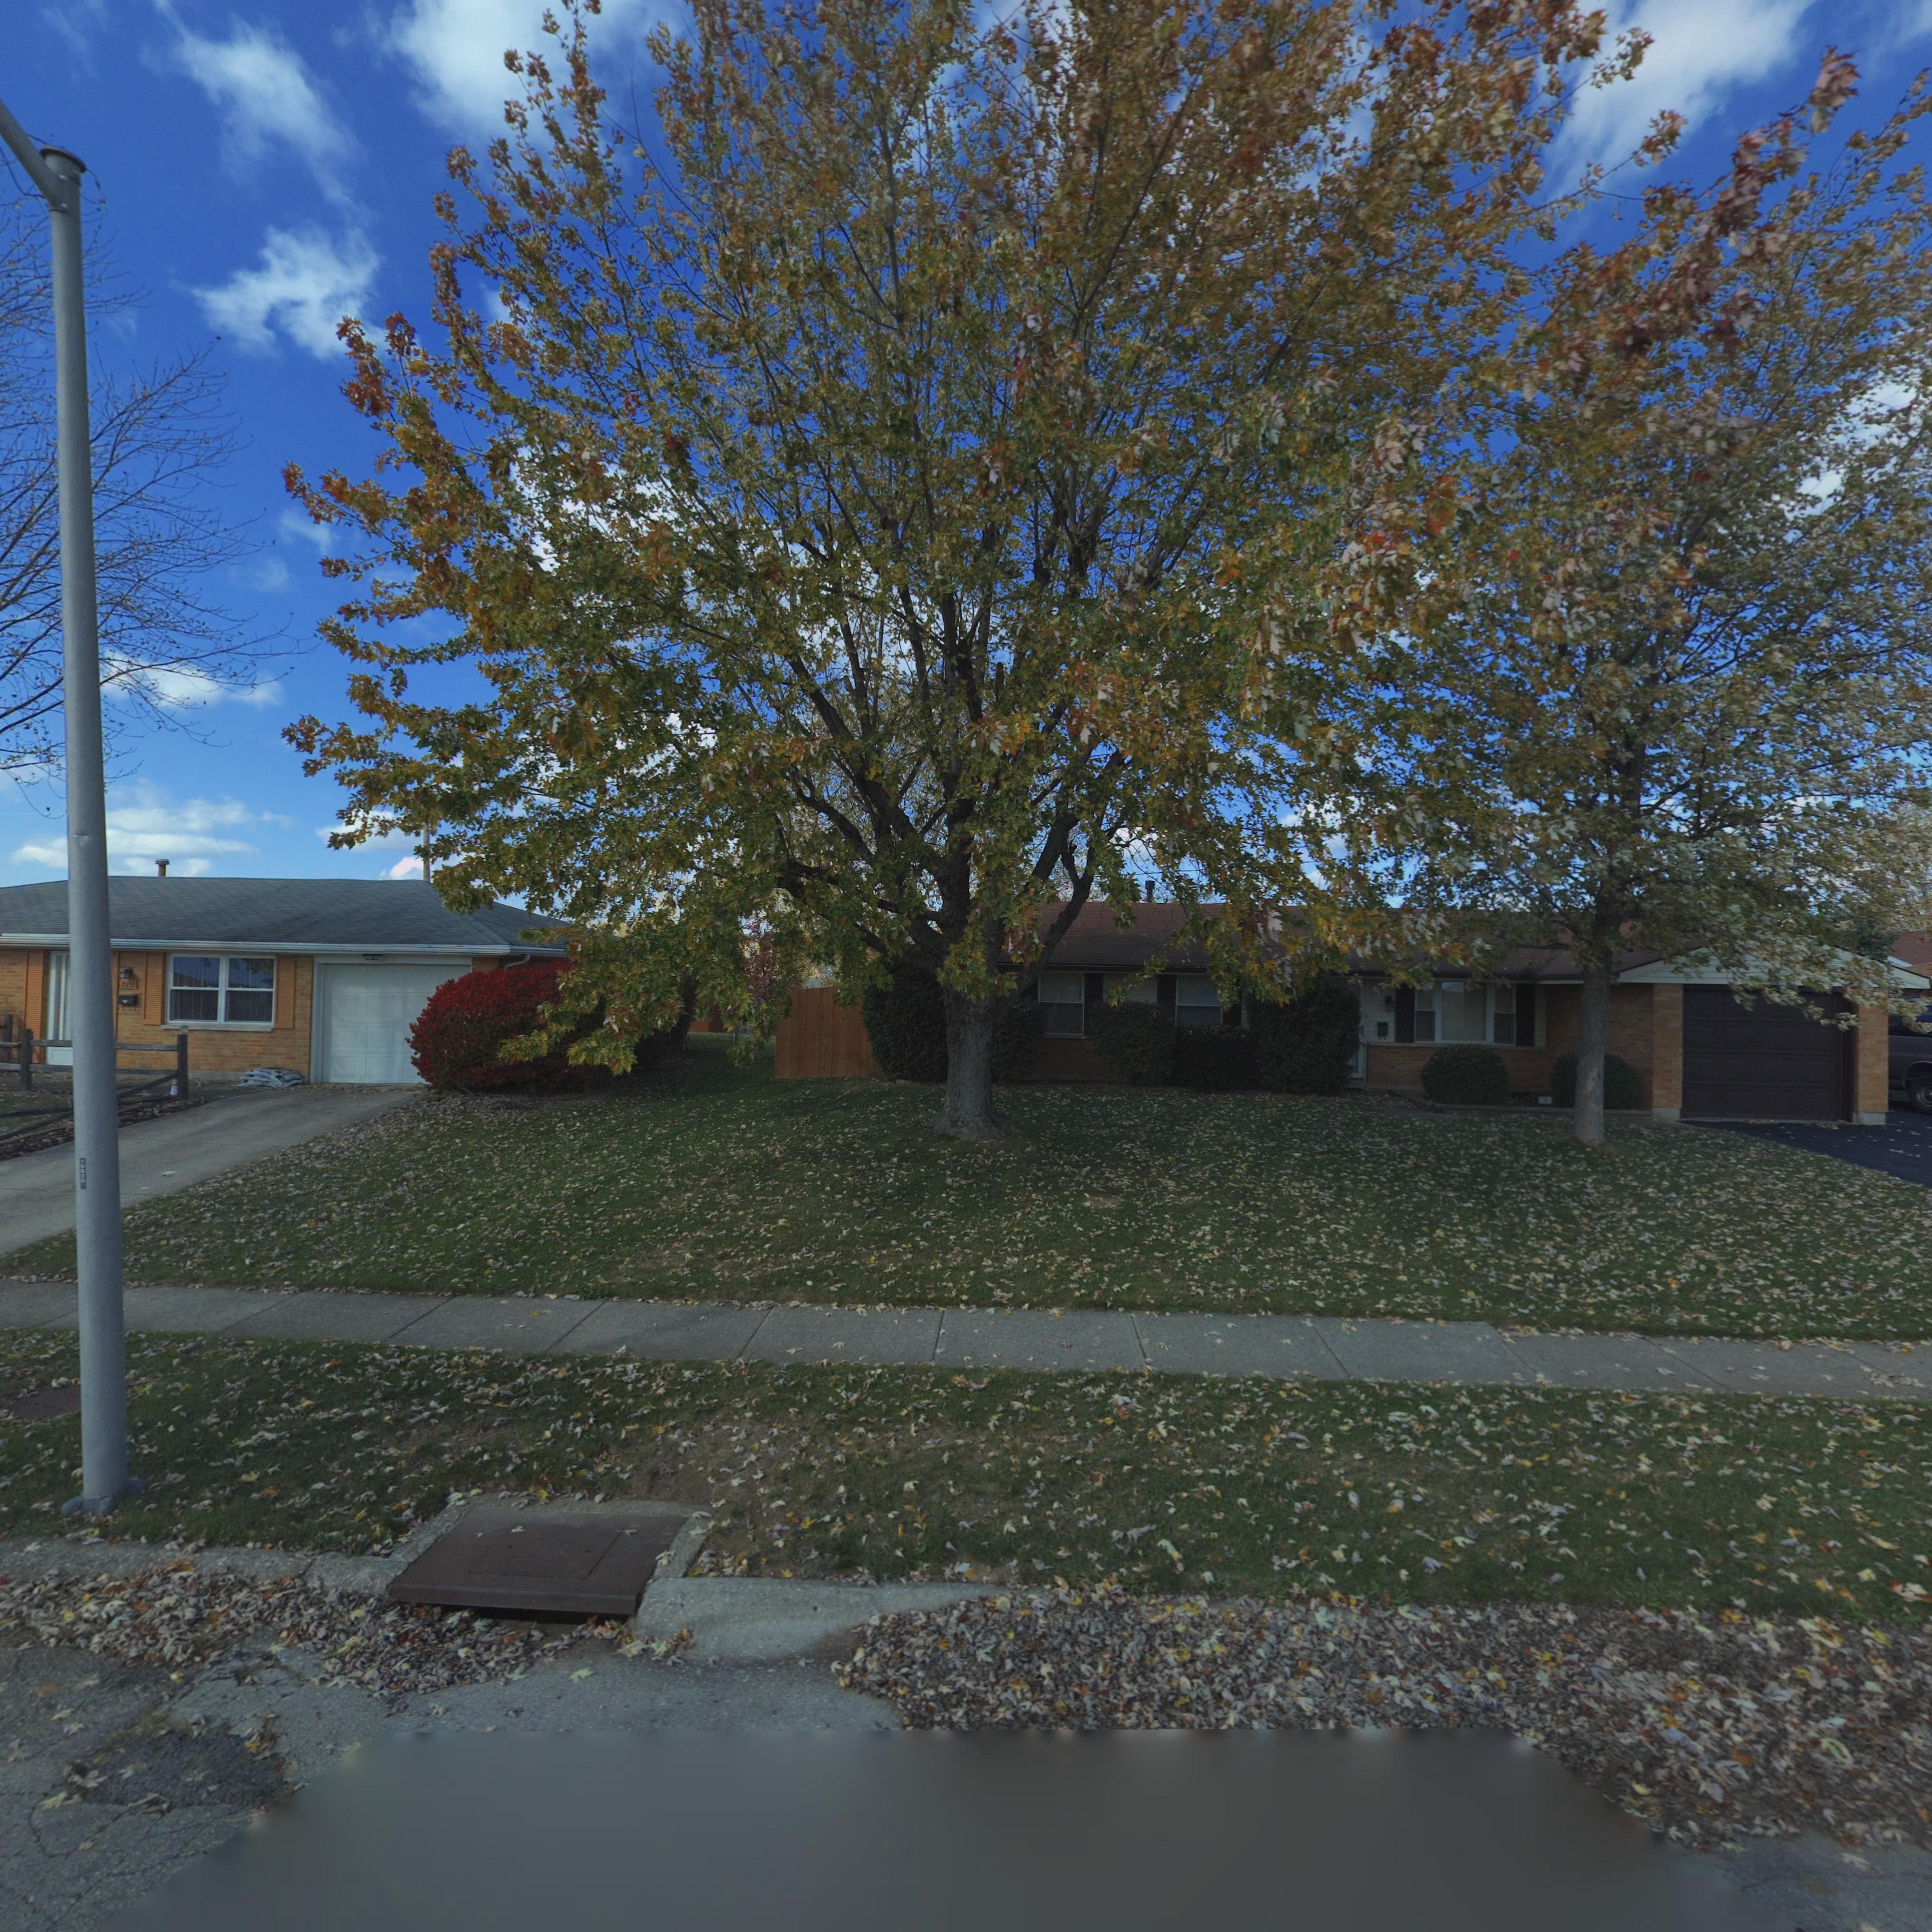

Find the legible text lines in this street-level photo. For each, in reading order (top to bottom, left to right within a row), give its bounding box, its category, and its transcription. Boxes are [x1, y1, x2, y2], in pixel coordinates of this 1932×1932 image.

[120, 981, 136, 989] StreetNumber: 7691